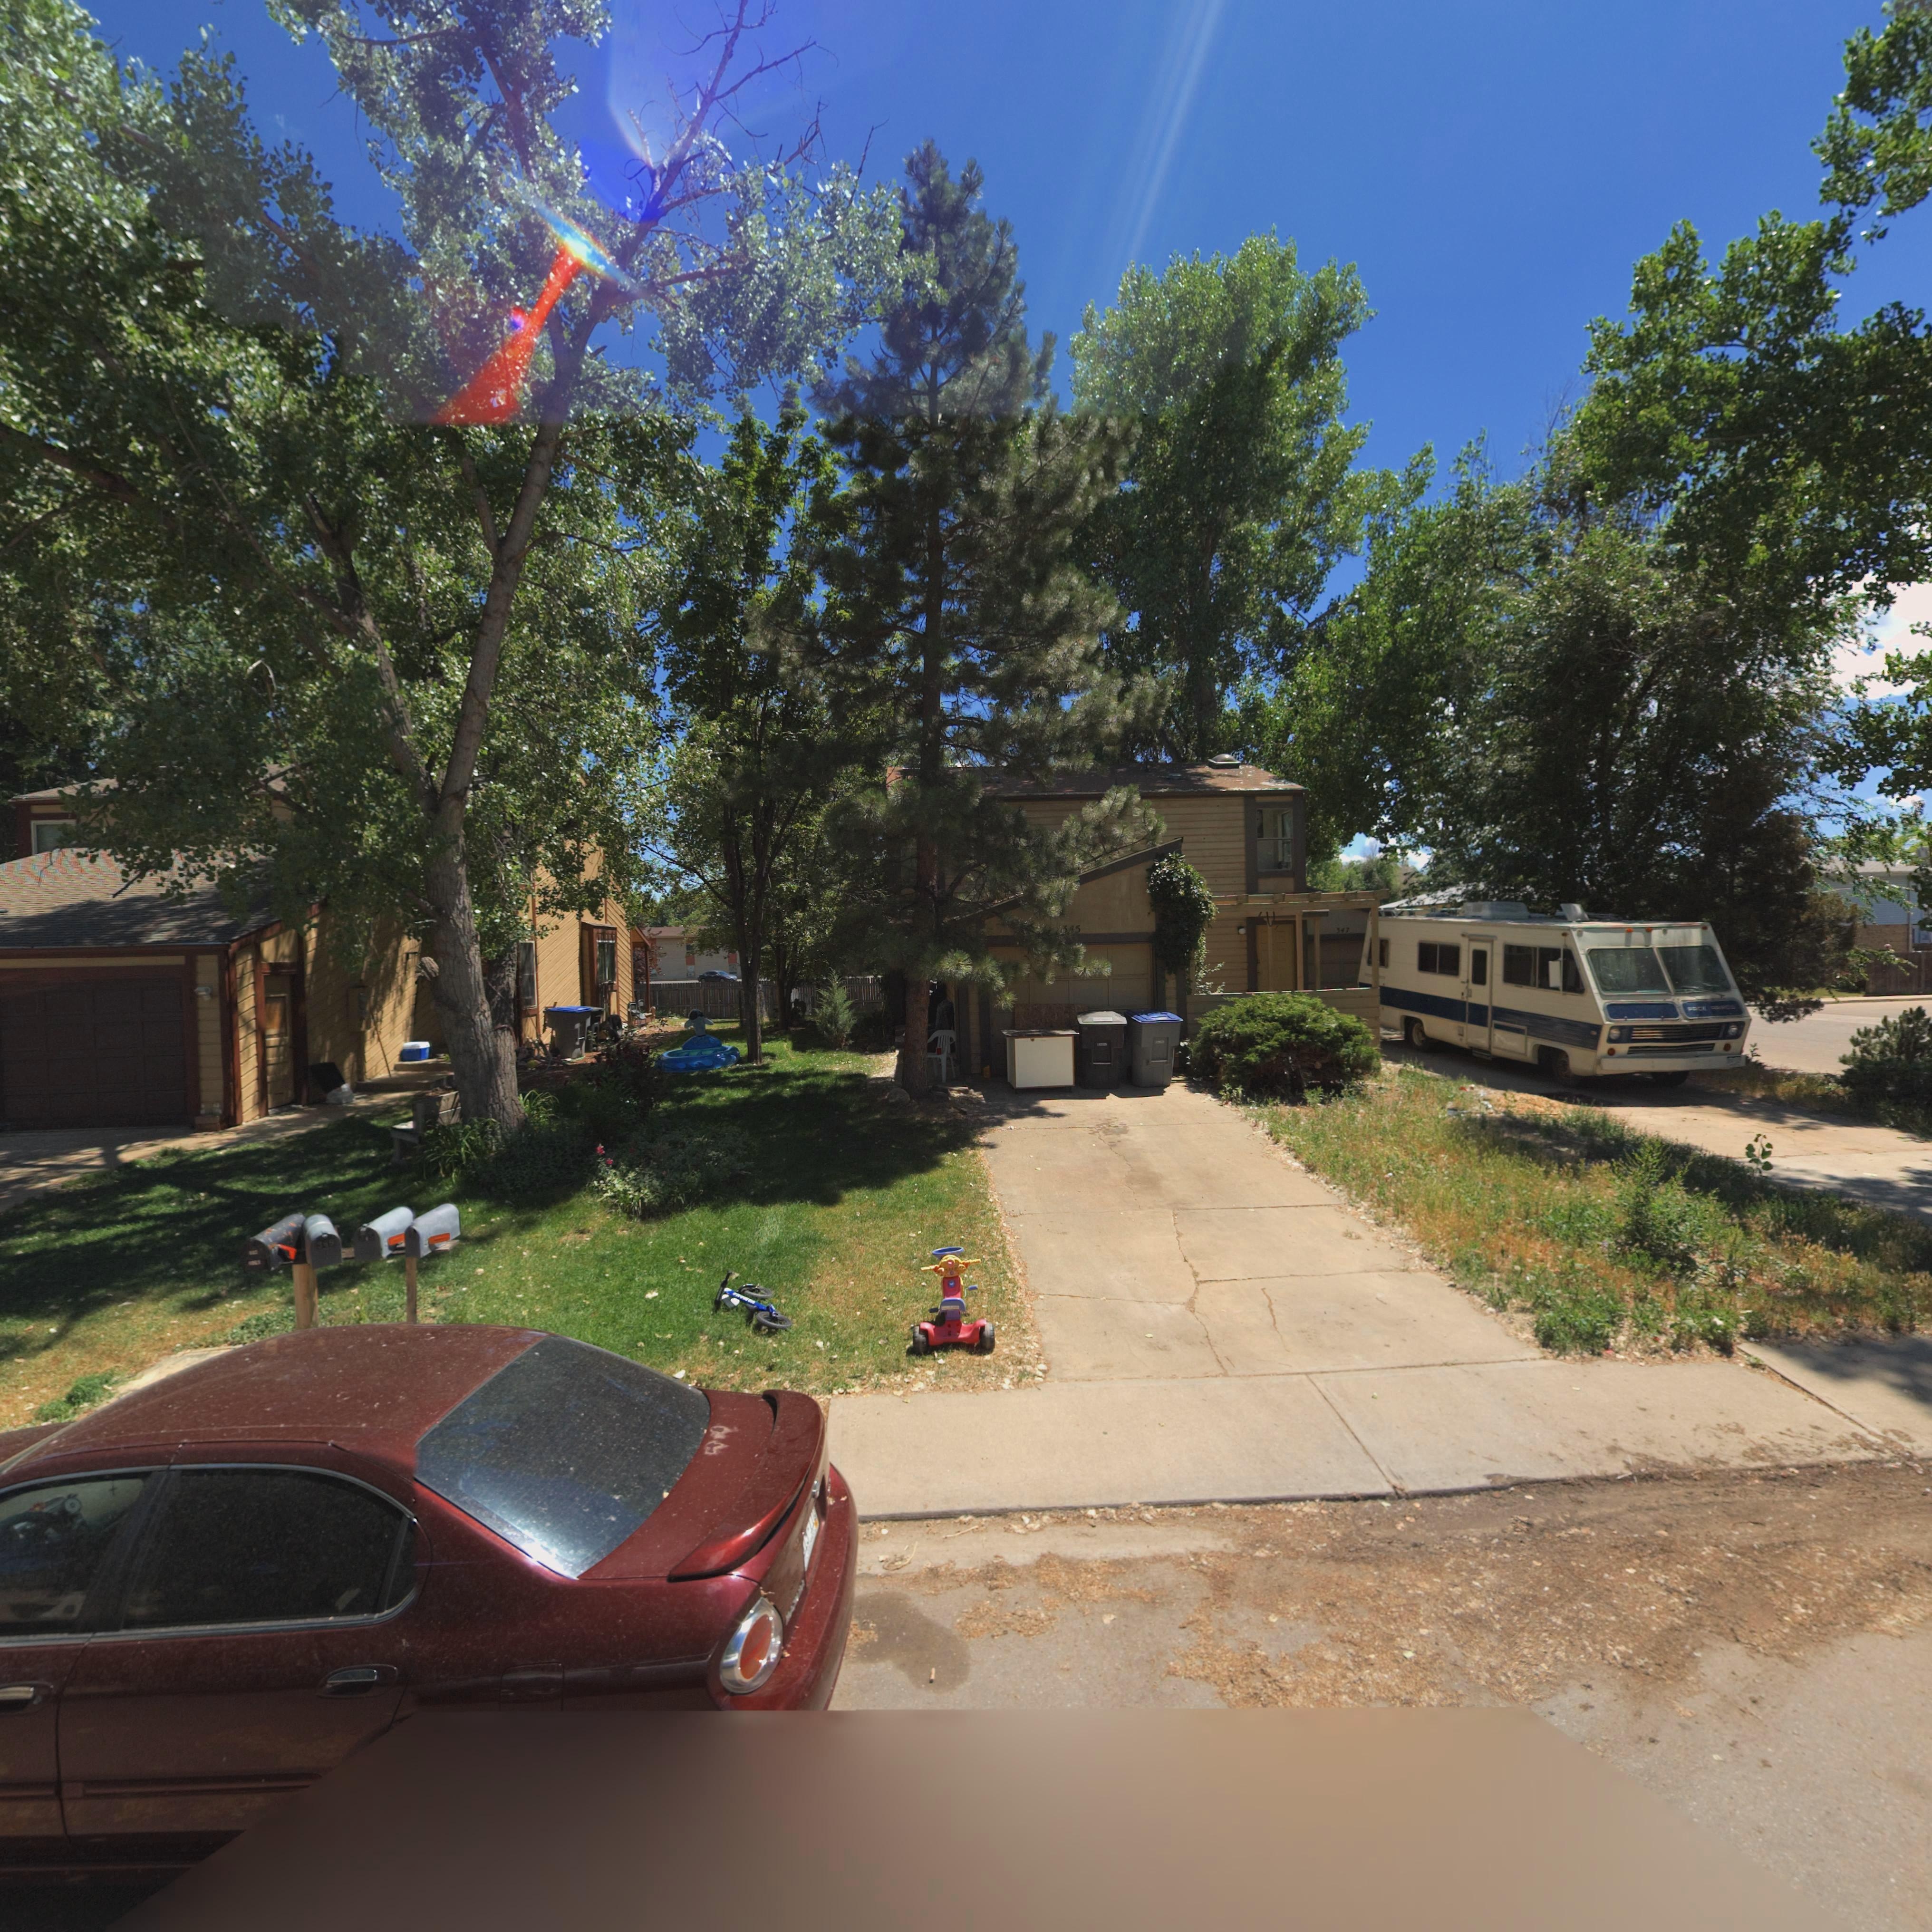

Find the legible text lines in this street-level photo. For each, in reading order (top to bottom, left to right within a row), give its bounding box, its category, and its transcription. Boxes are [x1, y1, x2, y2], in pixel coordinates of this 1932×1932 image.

[1061, 924, 1081, 934] StreetNumber: 3*5
[1335, 927, 1350, 933] StreetNumber: 347
[316, 1238, 335, 1249] StreetNumber: 3**